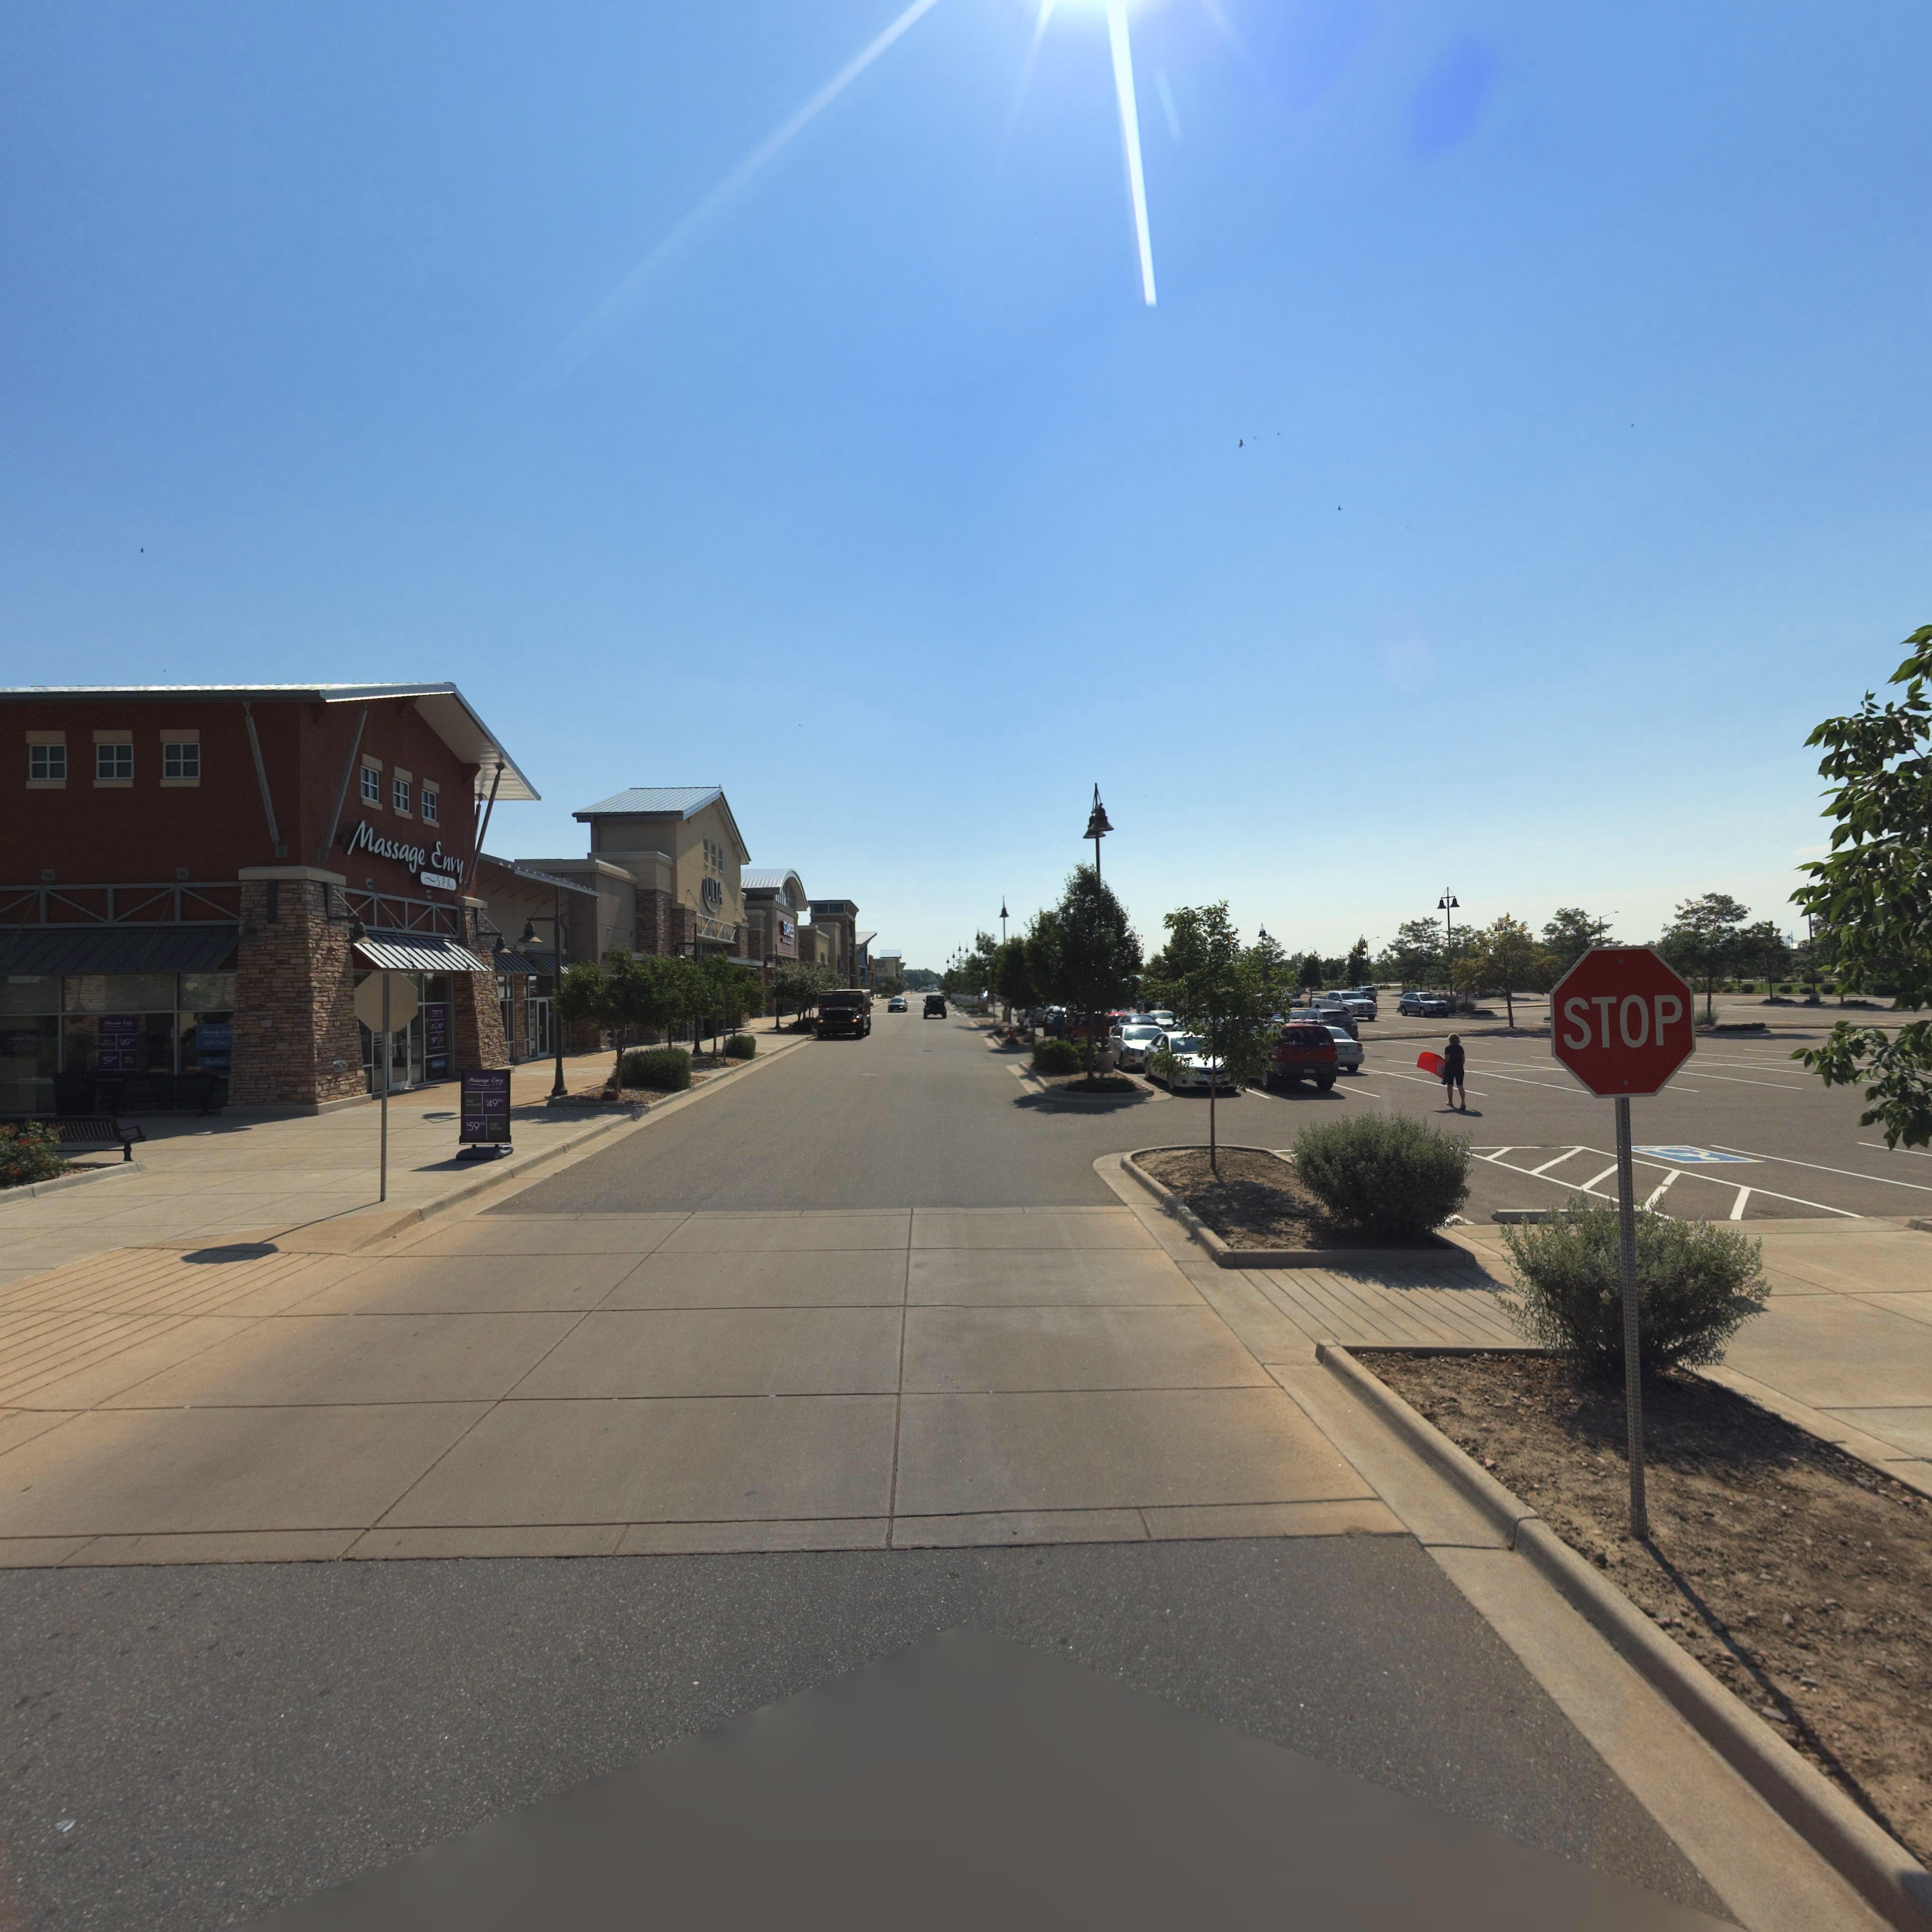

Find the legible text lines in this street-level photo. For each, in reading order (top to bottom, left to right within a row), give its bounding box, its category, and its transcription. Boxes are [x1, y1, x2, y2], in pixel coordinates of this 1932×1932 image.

[342, 819, 464, 885] None: Massage Envy
[436, 875, 451, 889] BusinessName: SPA
[705, 875, 723, 905] BusinessName: ULTA
[782, 920, 794, 938] BusinessName: S****
[874, 959, 886, 965] BusinessName: DSW
[467, 1076, 503, 1084] None: Massage Envy
[493, 1082, 501, 1086] None: SPA